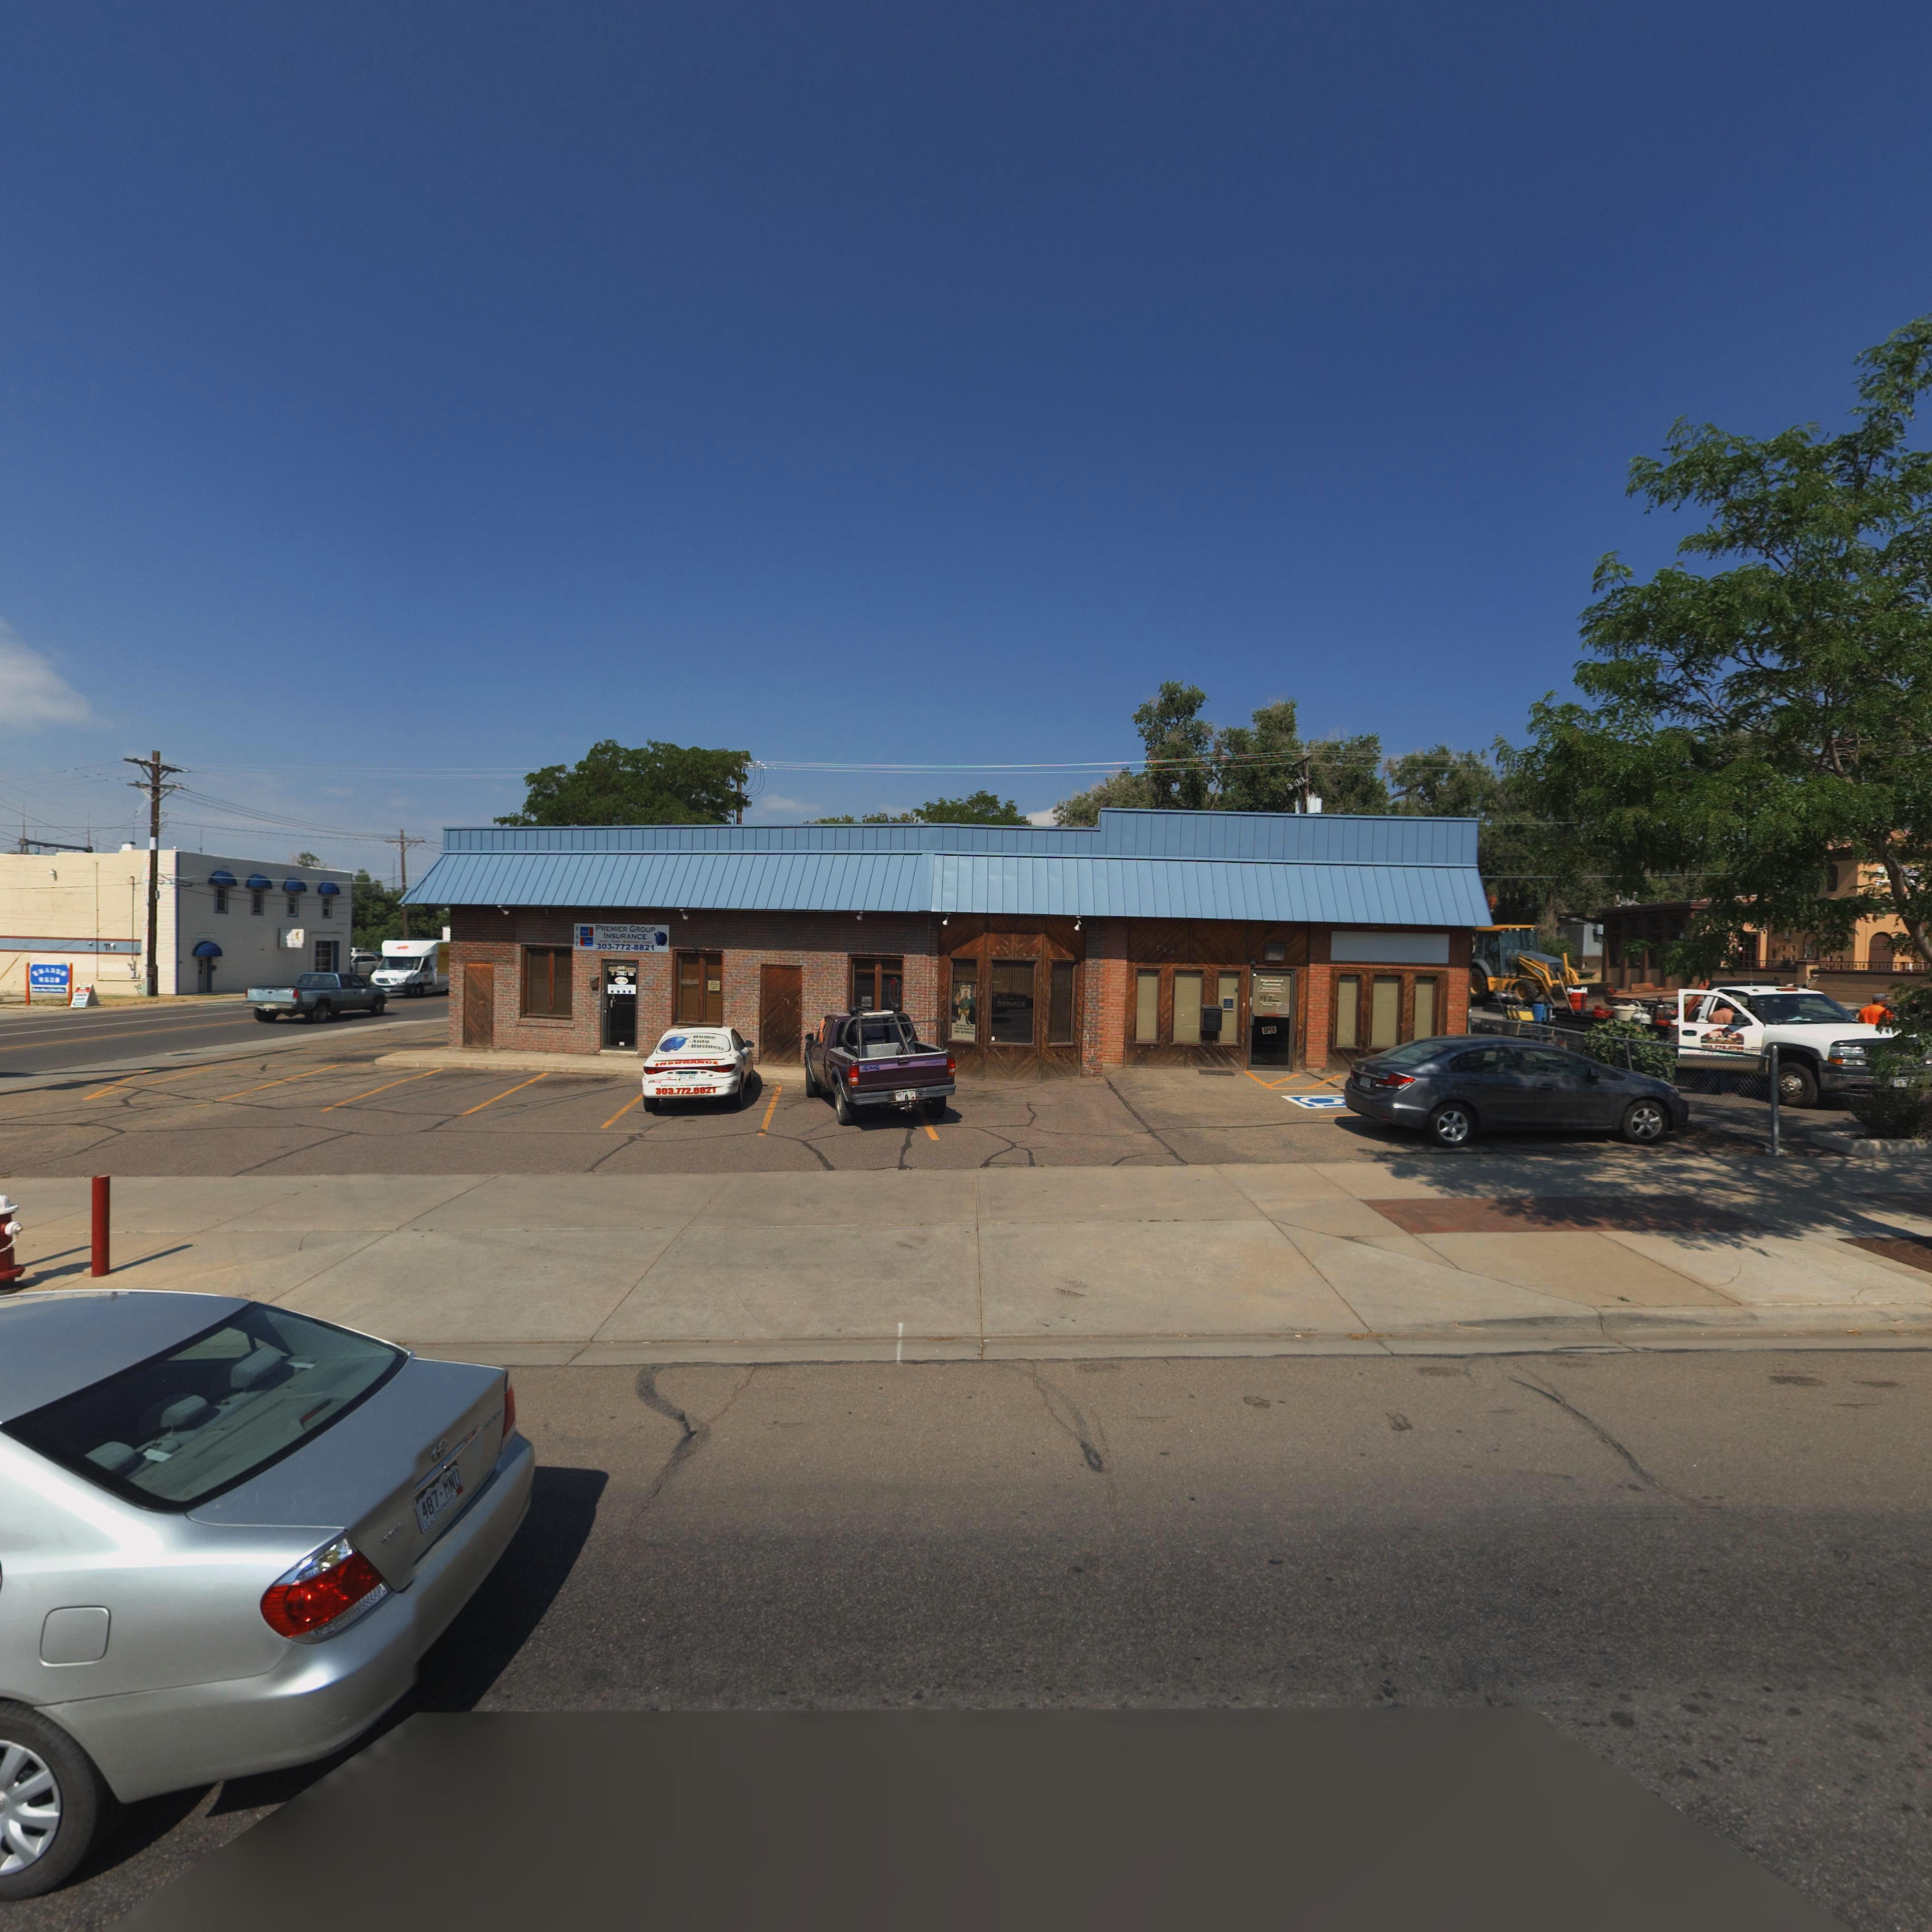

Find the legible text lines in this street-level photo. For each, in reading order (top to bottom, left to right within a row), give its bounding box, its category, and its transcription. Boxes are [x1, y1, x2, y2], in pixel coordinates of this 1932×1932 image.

[595, 924, 656, 933] BusinessName: PREMIER GROUP
[603, 932, 647, 939] BusinessName: INSURANCE
[1156, 945, 1174, 954] StreetNumber: 205
[31, 967, 68, 977] BusinessName: **ADE*